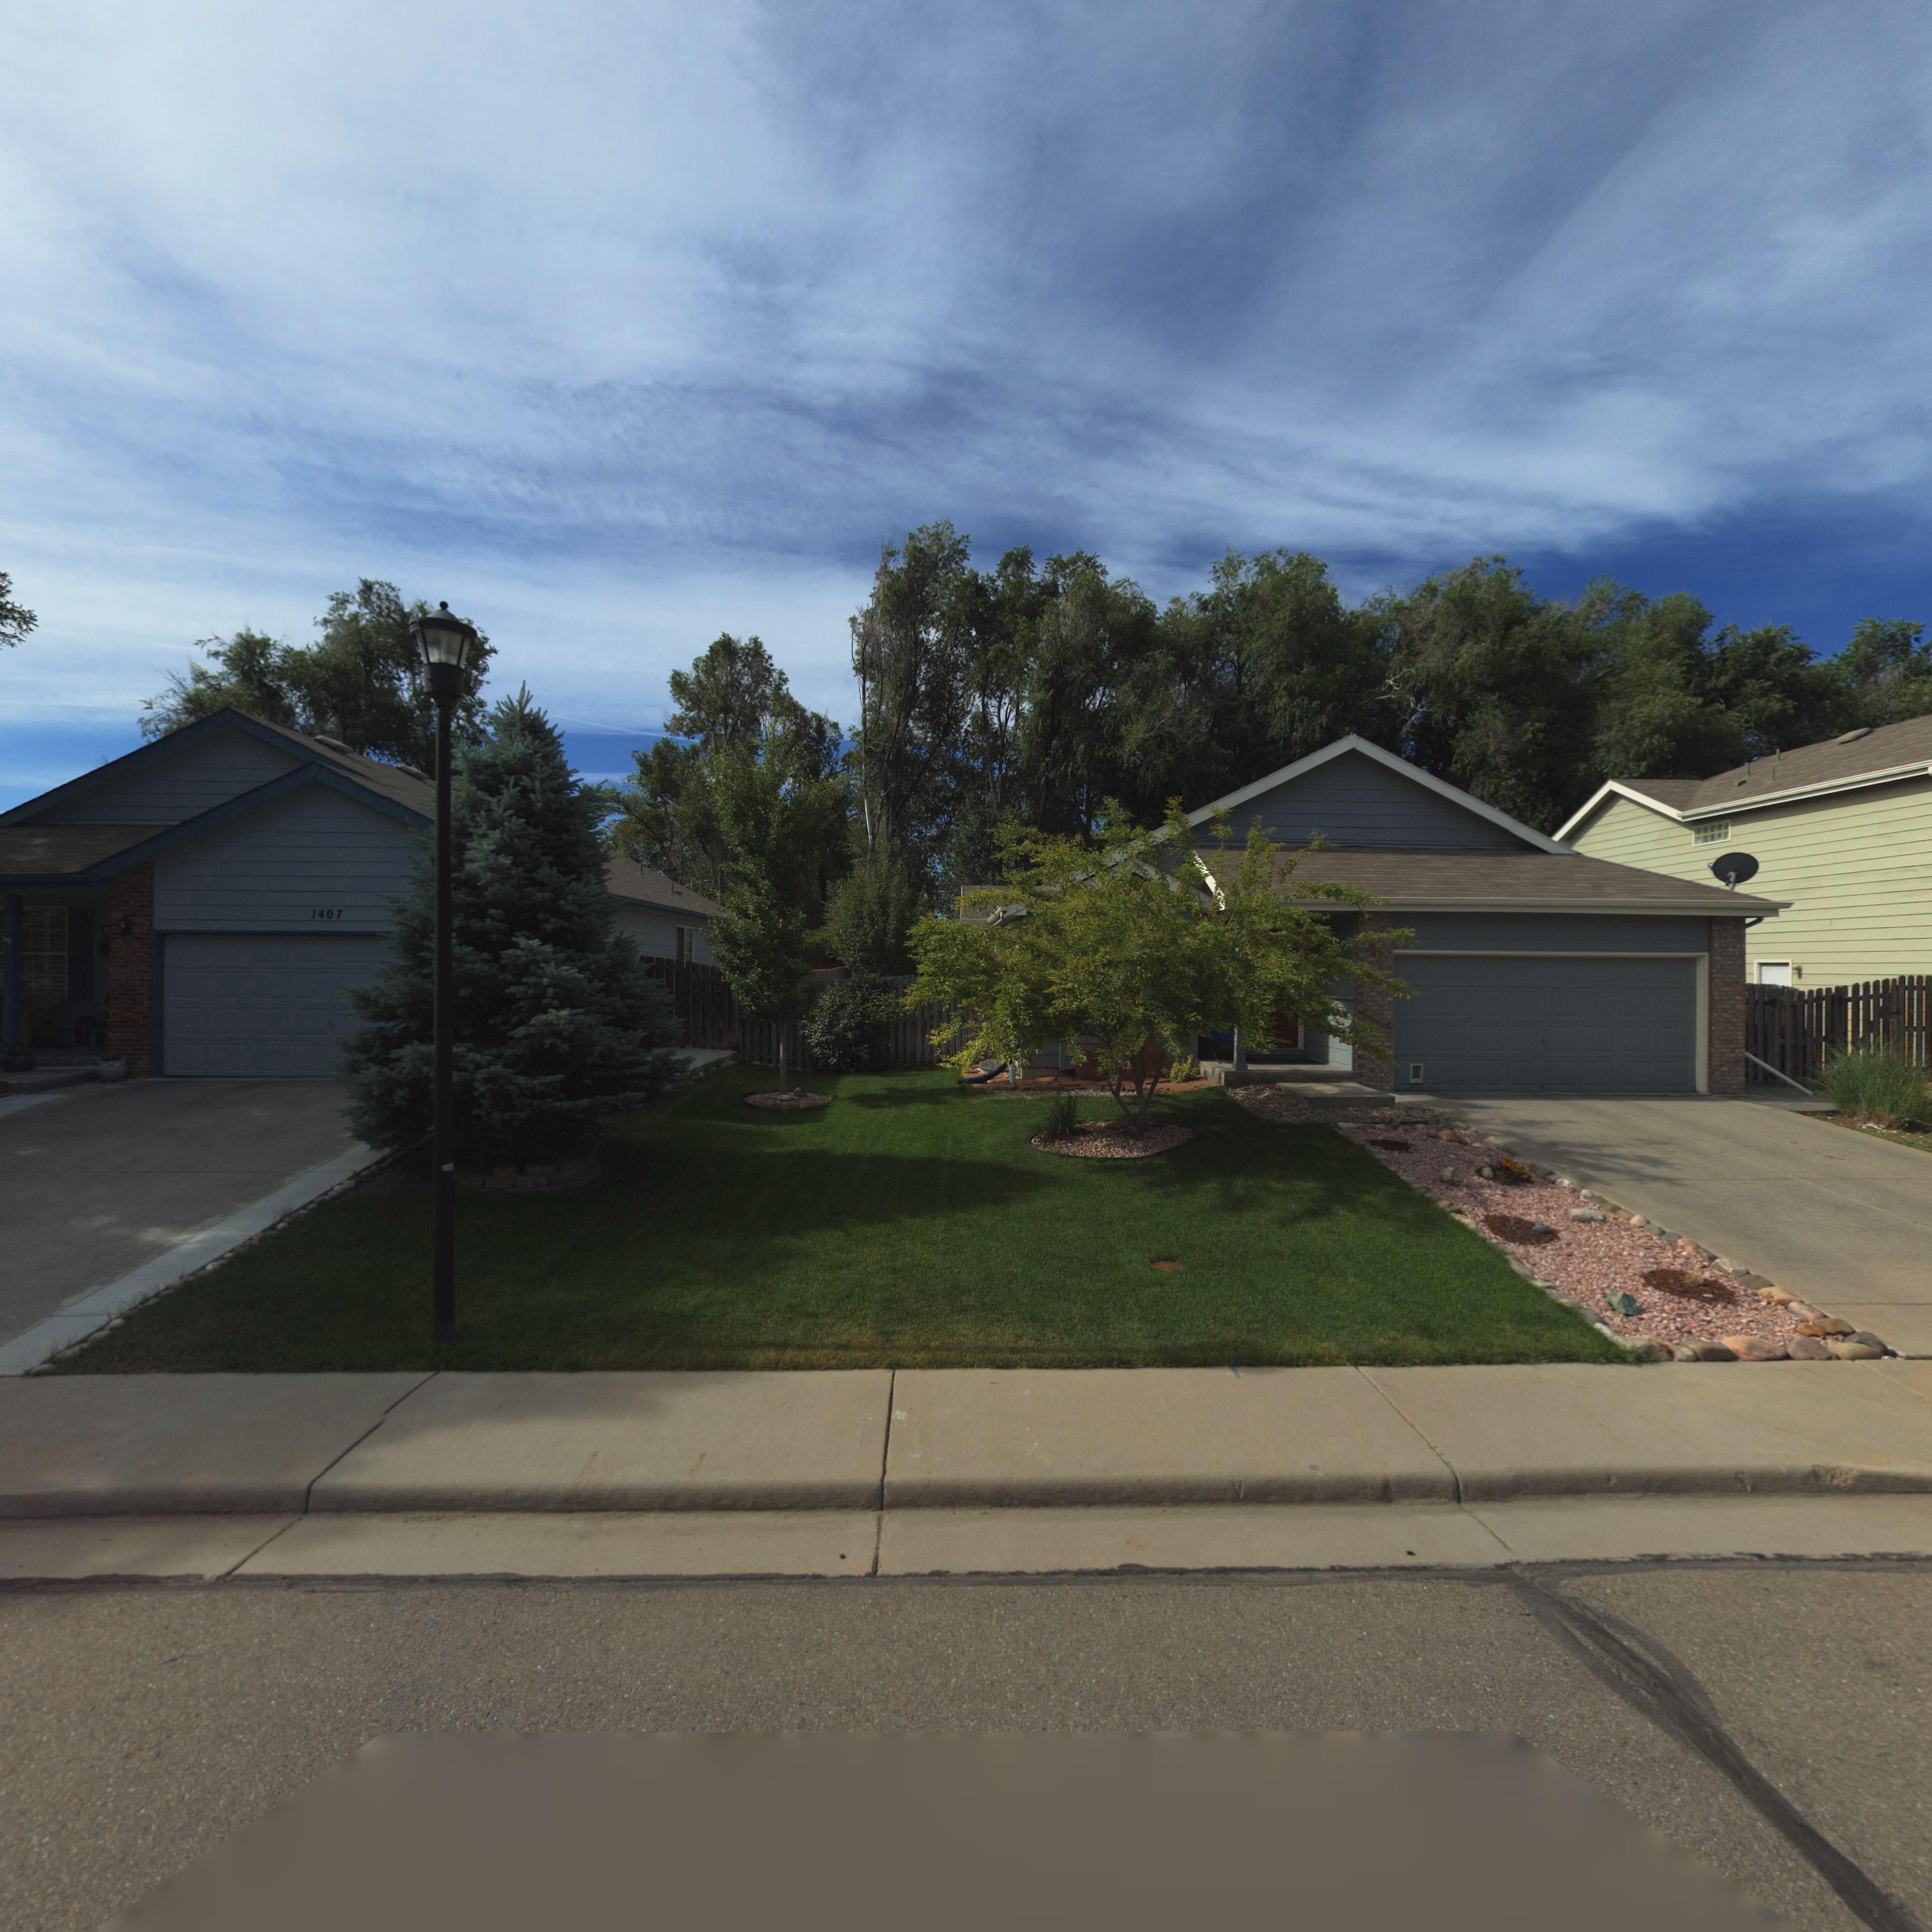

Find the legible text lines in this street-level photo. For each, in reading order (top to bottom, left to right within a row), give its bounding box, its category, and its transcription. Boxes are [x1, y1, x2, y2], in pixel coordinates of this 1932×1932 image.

[311, 908, 343, 919] StreetNumber: 1407